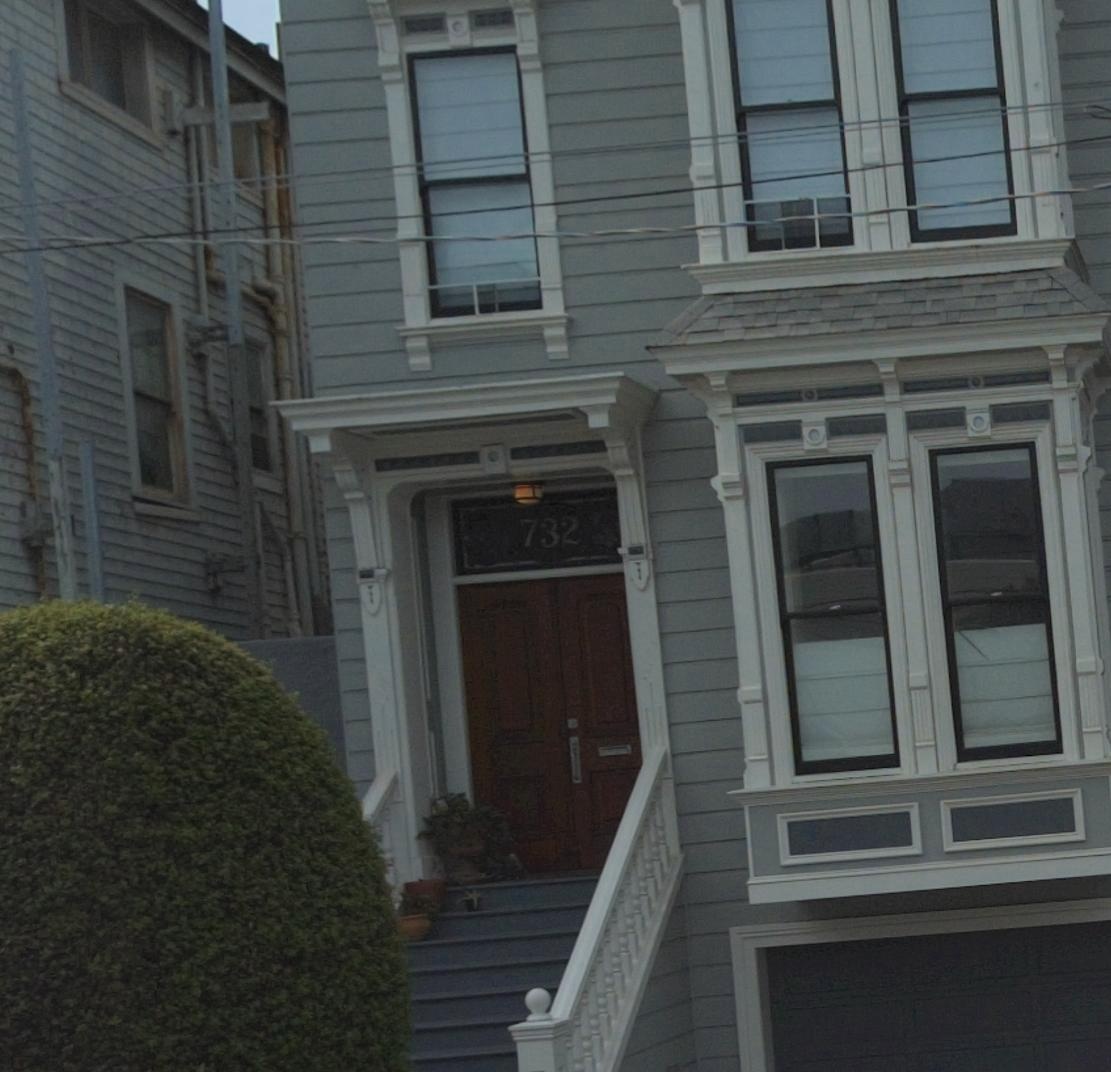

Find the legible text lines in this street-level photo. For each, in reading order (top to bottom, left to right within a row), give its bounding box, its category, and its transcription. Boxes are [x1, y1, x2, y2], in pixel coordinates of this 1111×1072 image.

[517, 514, 583, 549] StreetNumber: 732